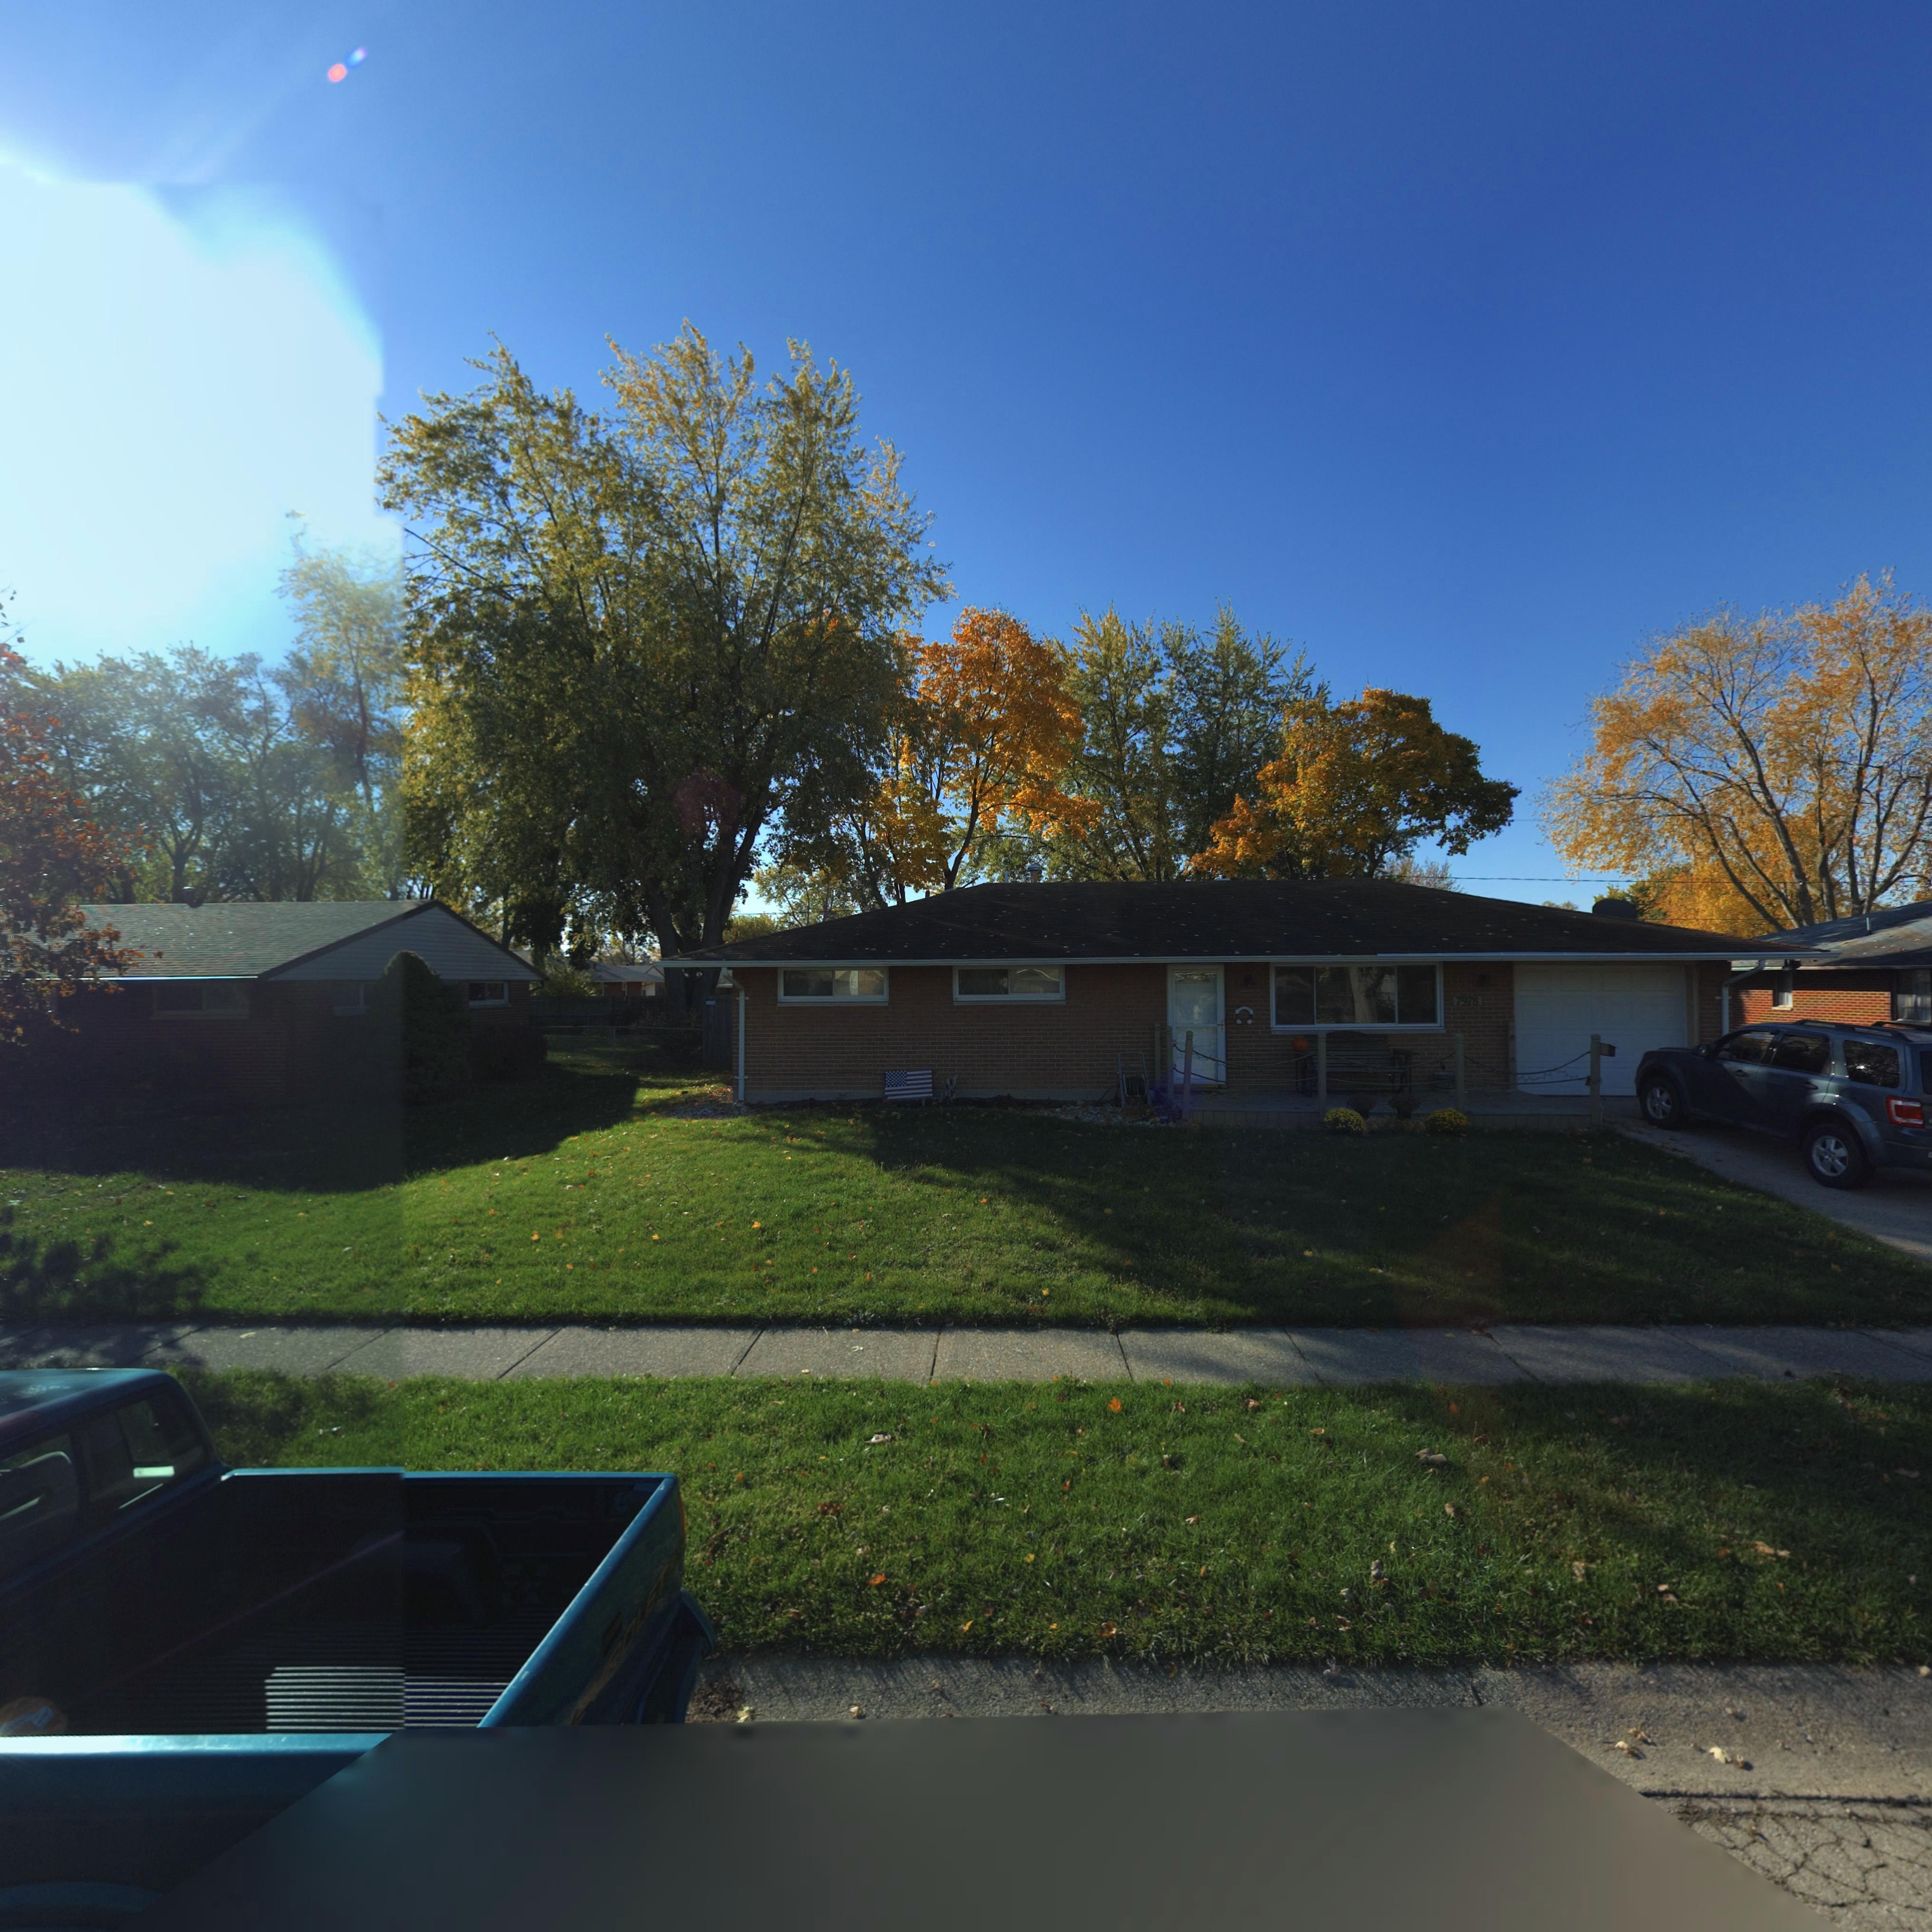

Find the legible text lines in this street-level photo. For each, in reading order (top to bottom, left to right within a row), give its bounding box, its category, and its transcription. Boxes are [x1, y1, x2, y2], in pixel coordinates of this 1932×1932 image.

[1455, 996, 1478, 1006] StreetNumber: 7978